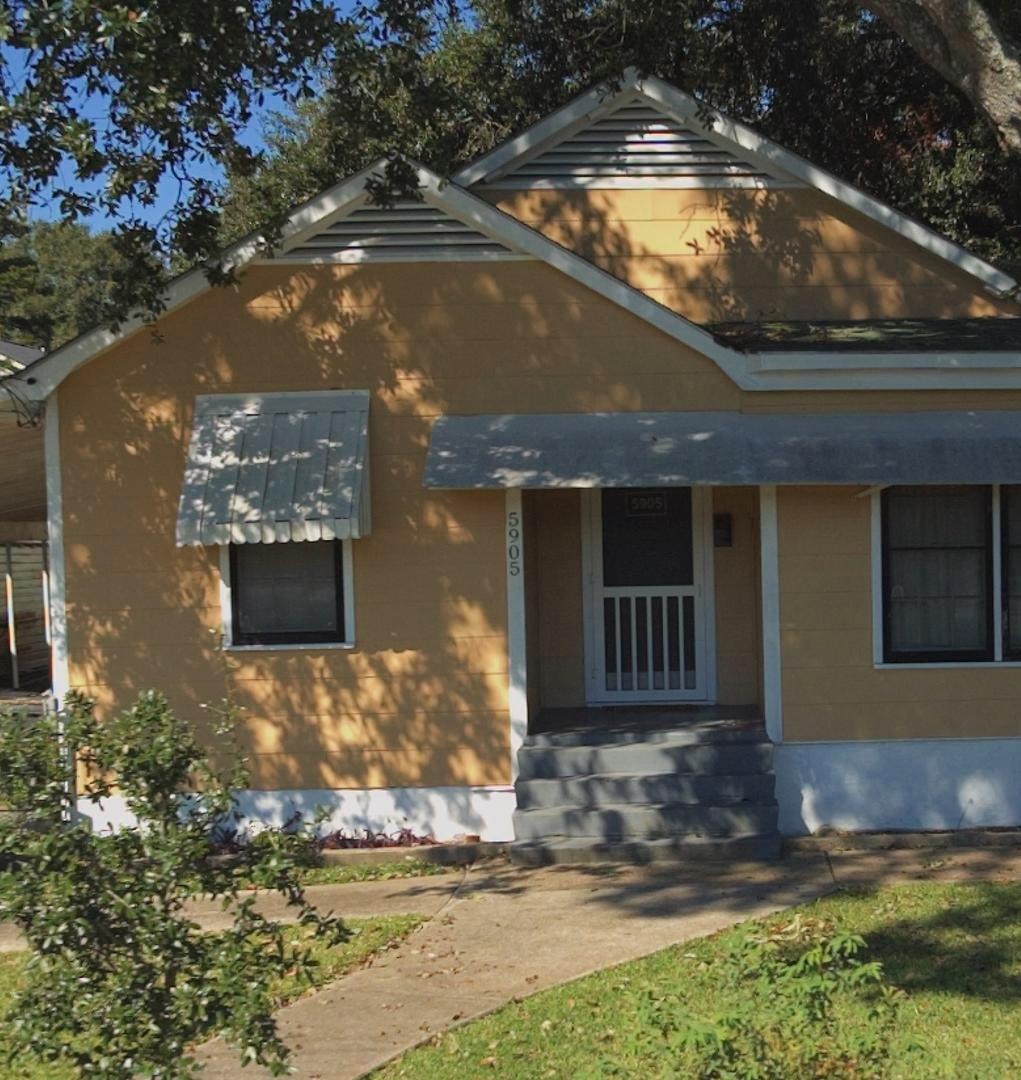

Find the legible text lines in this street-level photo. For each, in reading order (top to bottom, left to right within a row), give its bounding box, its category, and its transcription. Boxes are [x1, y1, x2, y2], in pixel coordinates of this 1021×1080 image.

[630, 495, 663, 511] BusinessName: 5905
[507, 510, 521, 577] StreetNumber: 5905